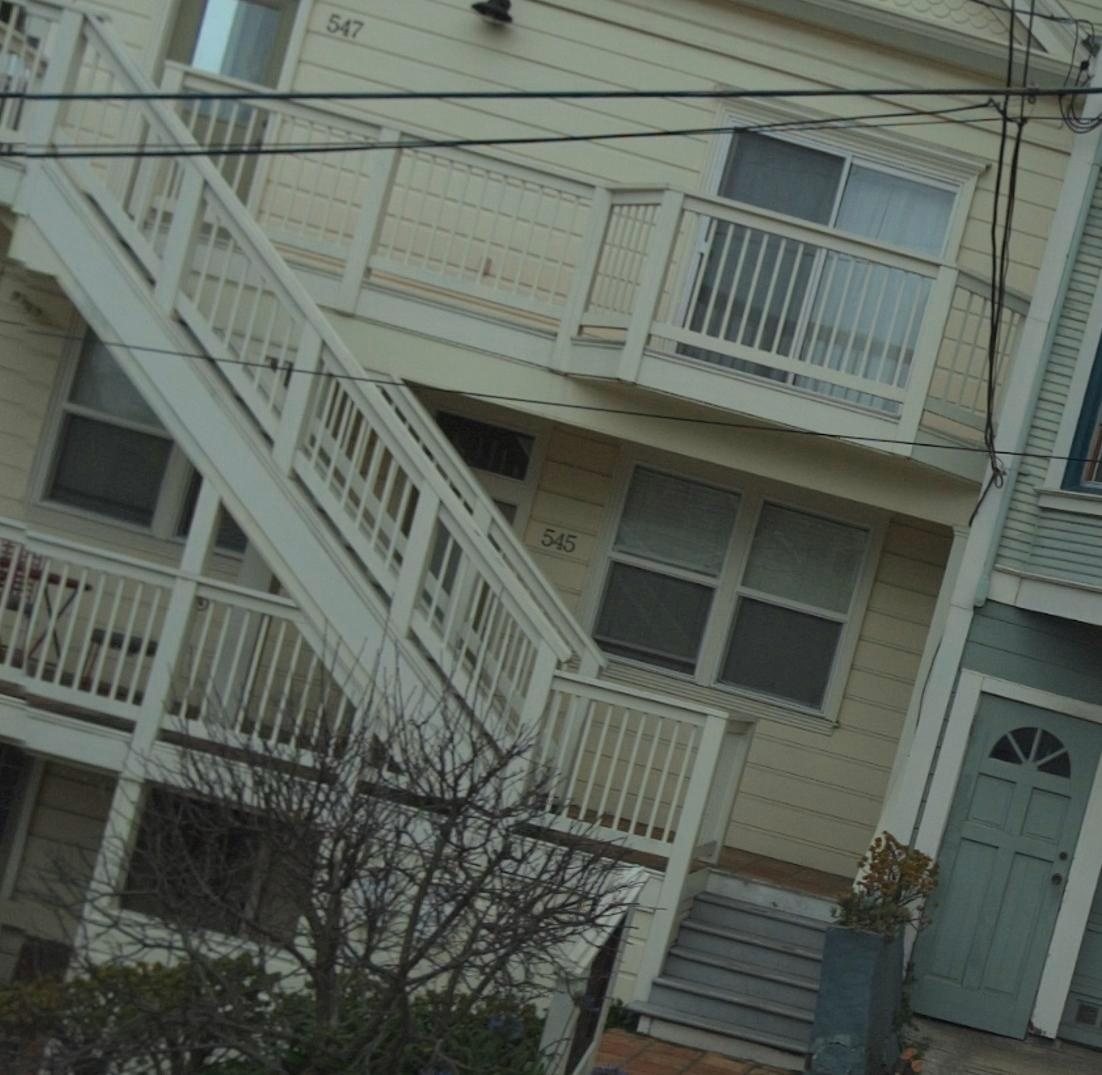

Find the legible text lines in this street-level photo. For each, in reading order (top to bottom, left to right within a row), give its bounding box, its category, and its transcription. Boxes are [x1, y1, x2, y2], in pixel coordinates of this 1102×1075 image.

[322, 12, 366, 41] StreetNumber: 547
[540, 526, 579, 555] StreetNumber: 545